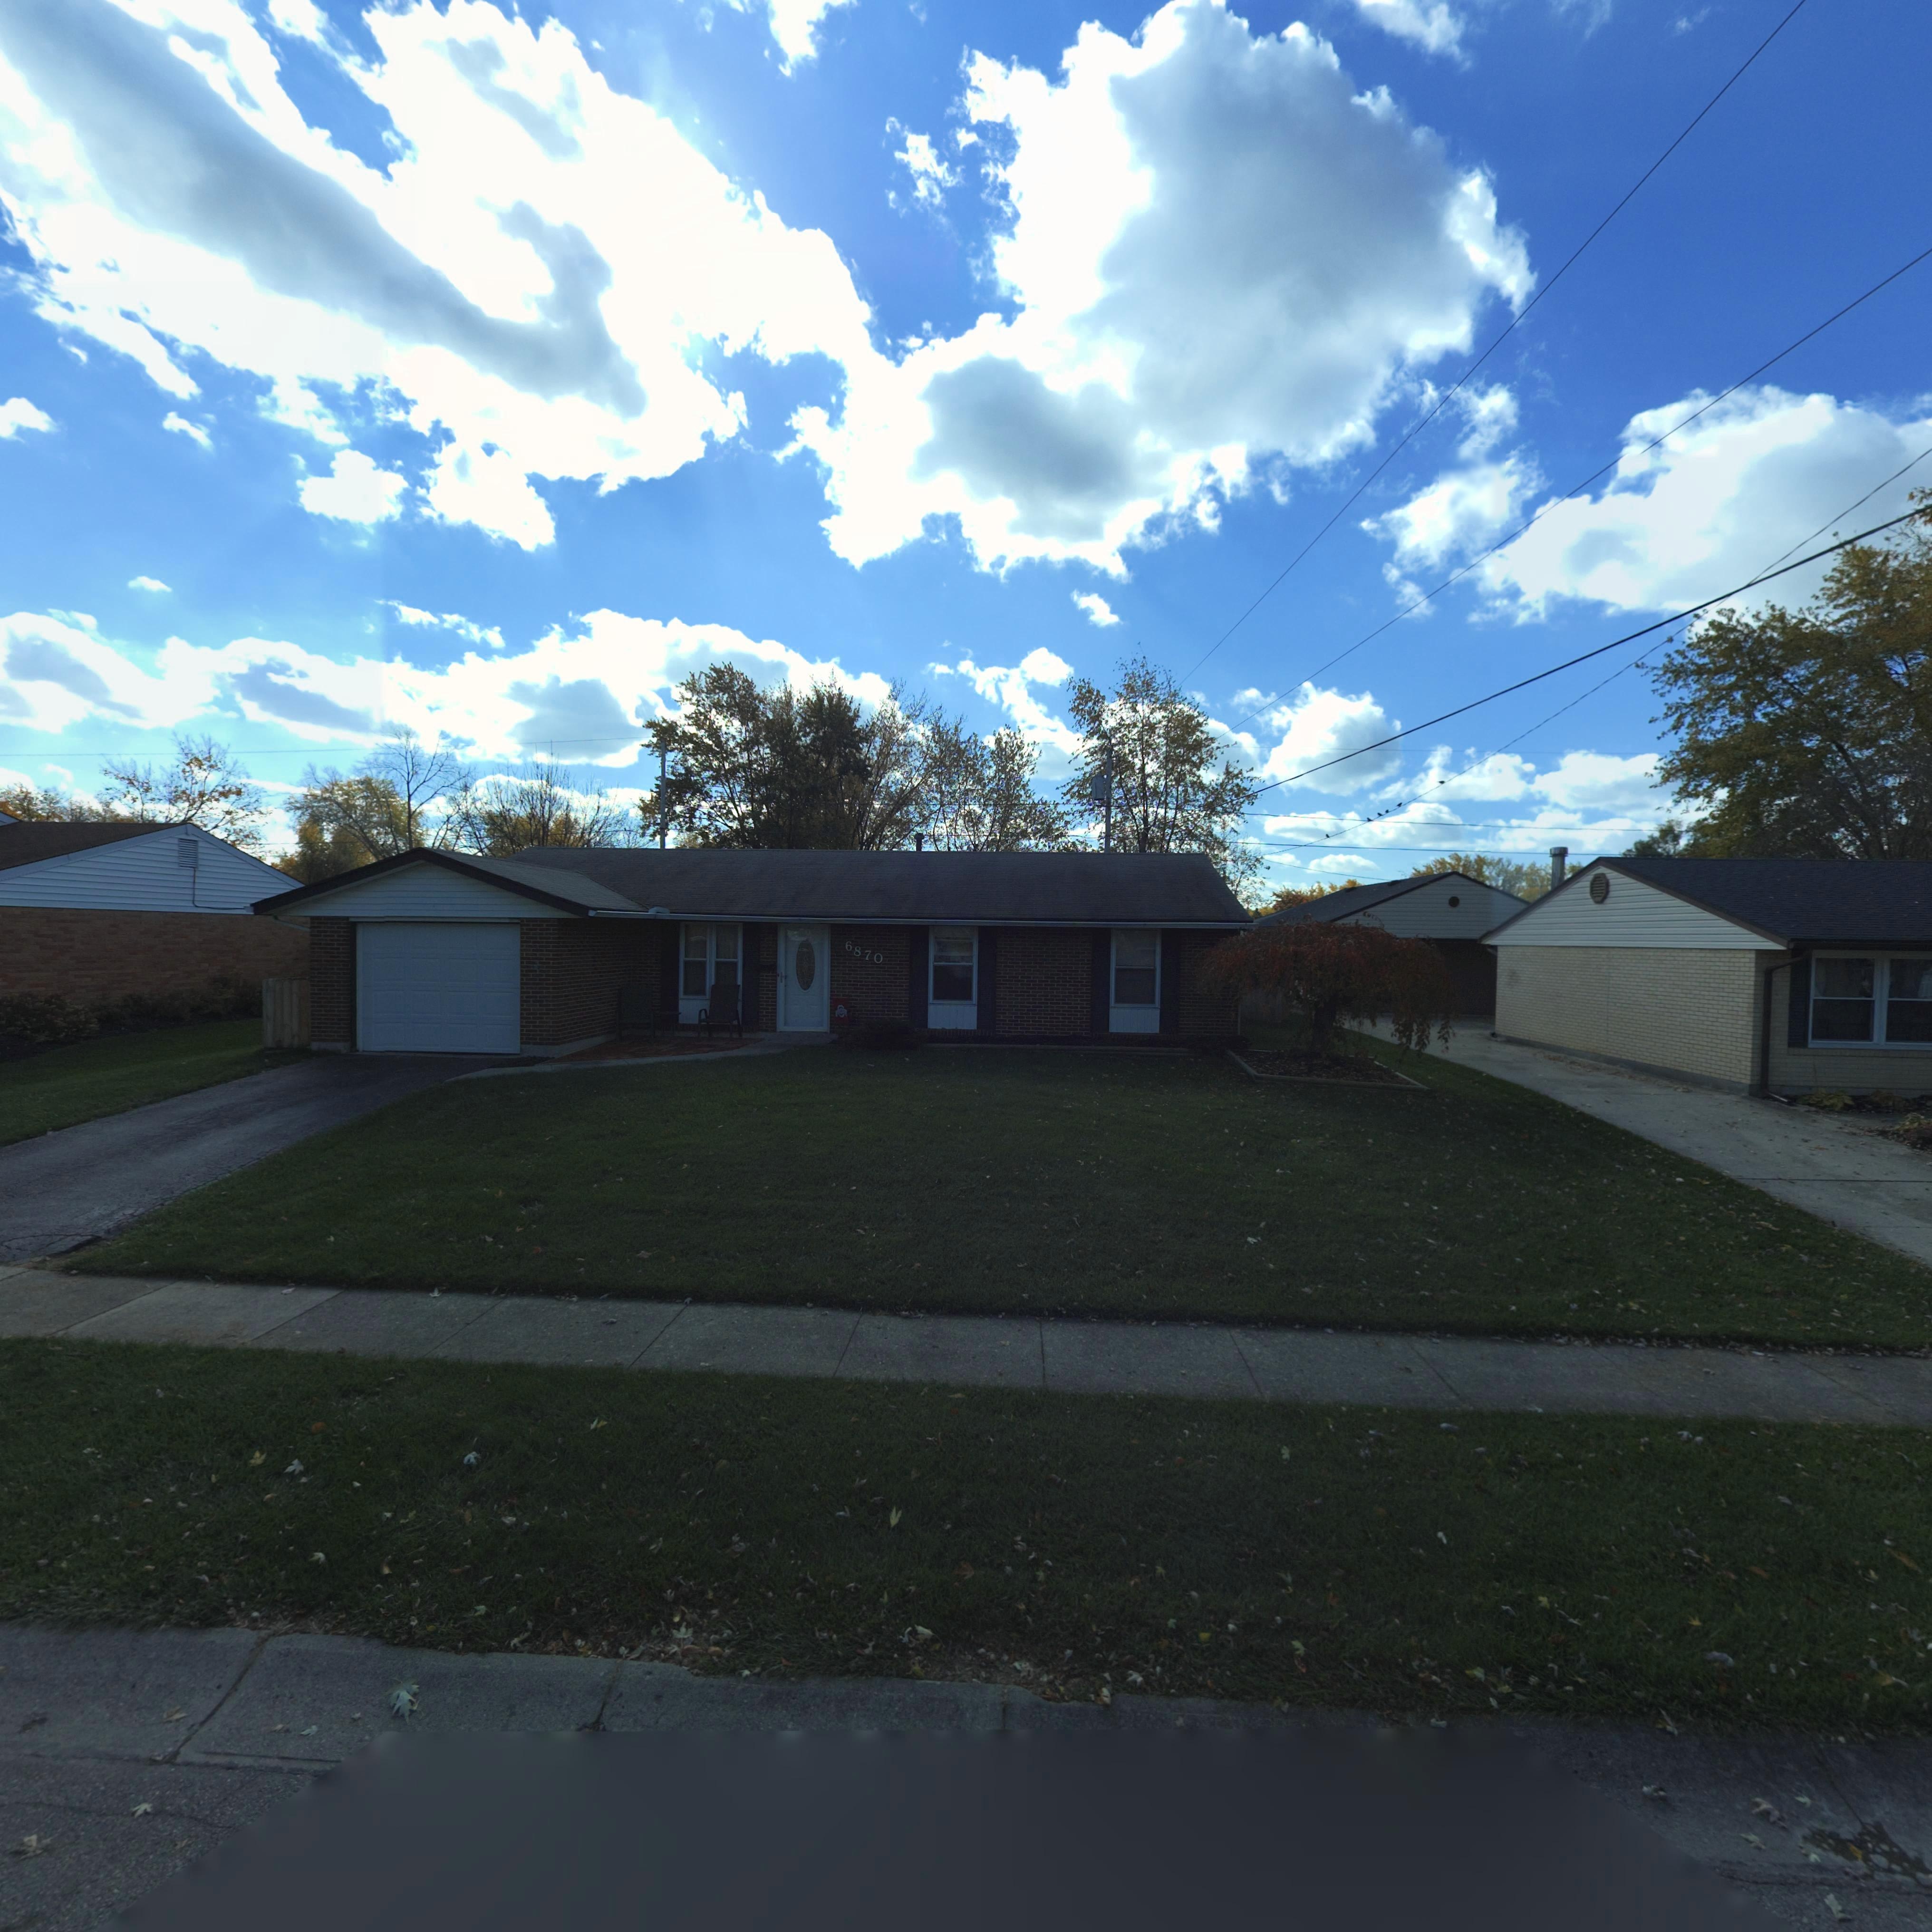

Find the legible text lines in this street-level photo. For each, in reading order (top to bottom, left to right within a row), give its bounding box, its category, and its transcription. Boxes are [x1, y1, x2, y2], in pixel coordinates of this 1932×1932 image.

[845, 940, 883, 964] StreetNumber: 6870